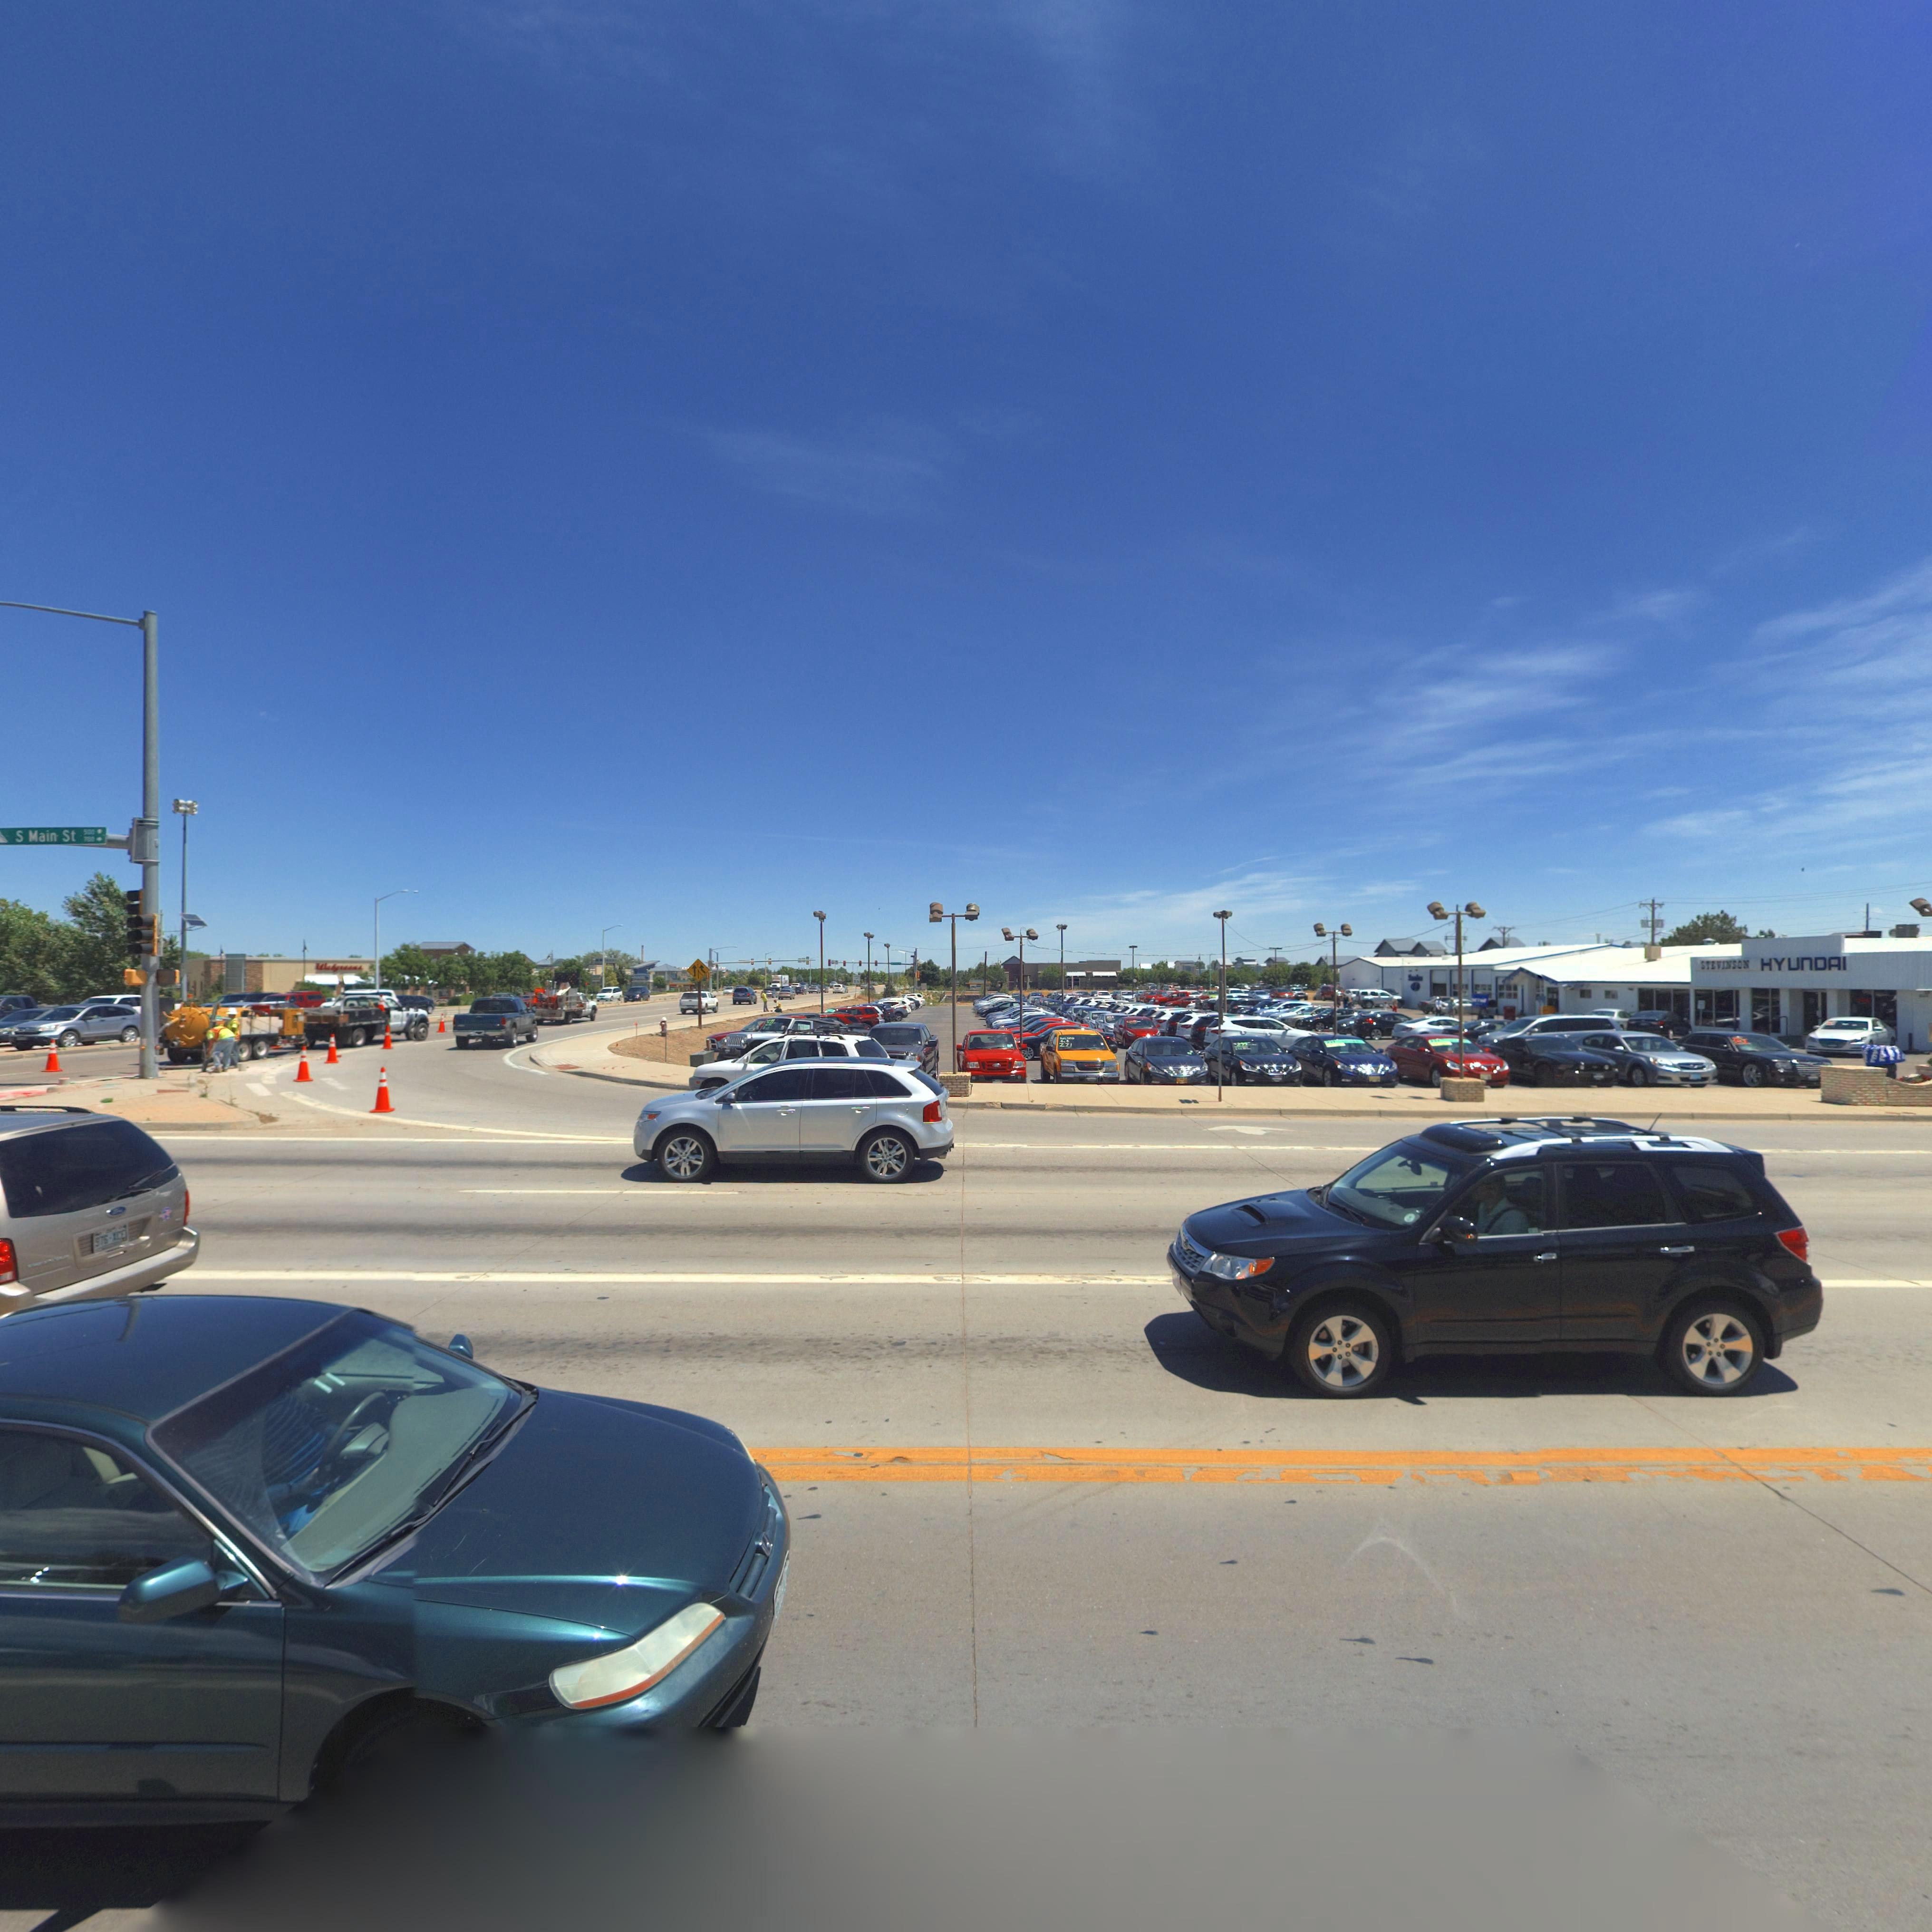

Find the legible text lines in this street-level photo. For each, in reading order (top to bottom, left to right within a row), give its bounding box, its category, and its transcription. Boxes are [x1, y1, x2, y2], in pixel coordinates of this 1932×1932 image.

[13, 828, 77, 844] StreetName: S Main St
[83, 828, 96, 836] StreetNumberRange: 500
[83, 836, 103, 842] StreetNumberRange: 700 ->
[314, 961, 364, 972] BusinessName: Walgreens
[1699, 958, 1750, 970] BusinessName: STEVINSON
[1761, 956, 1846, 971] BusinessName: HYUnDAl